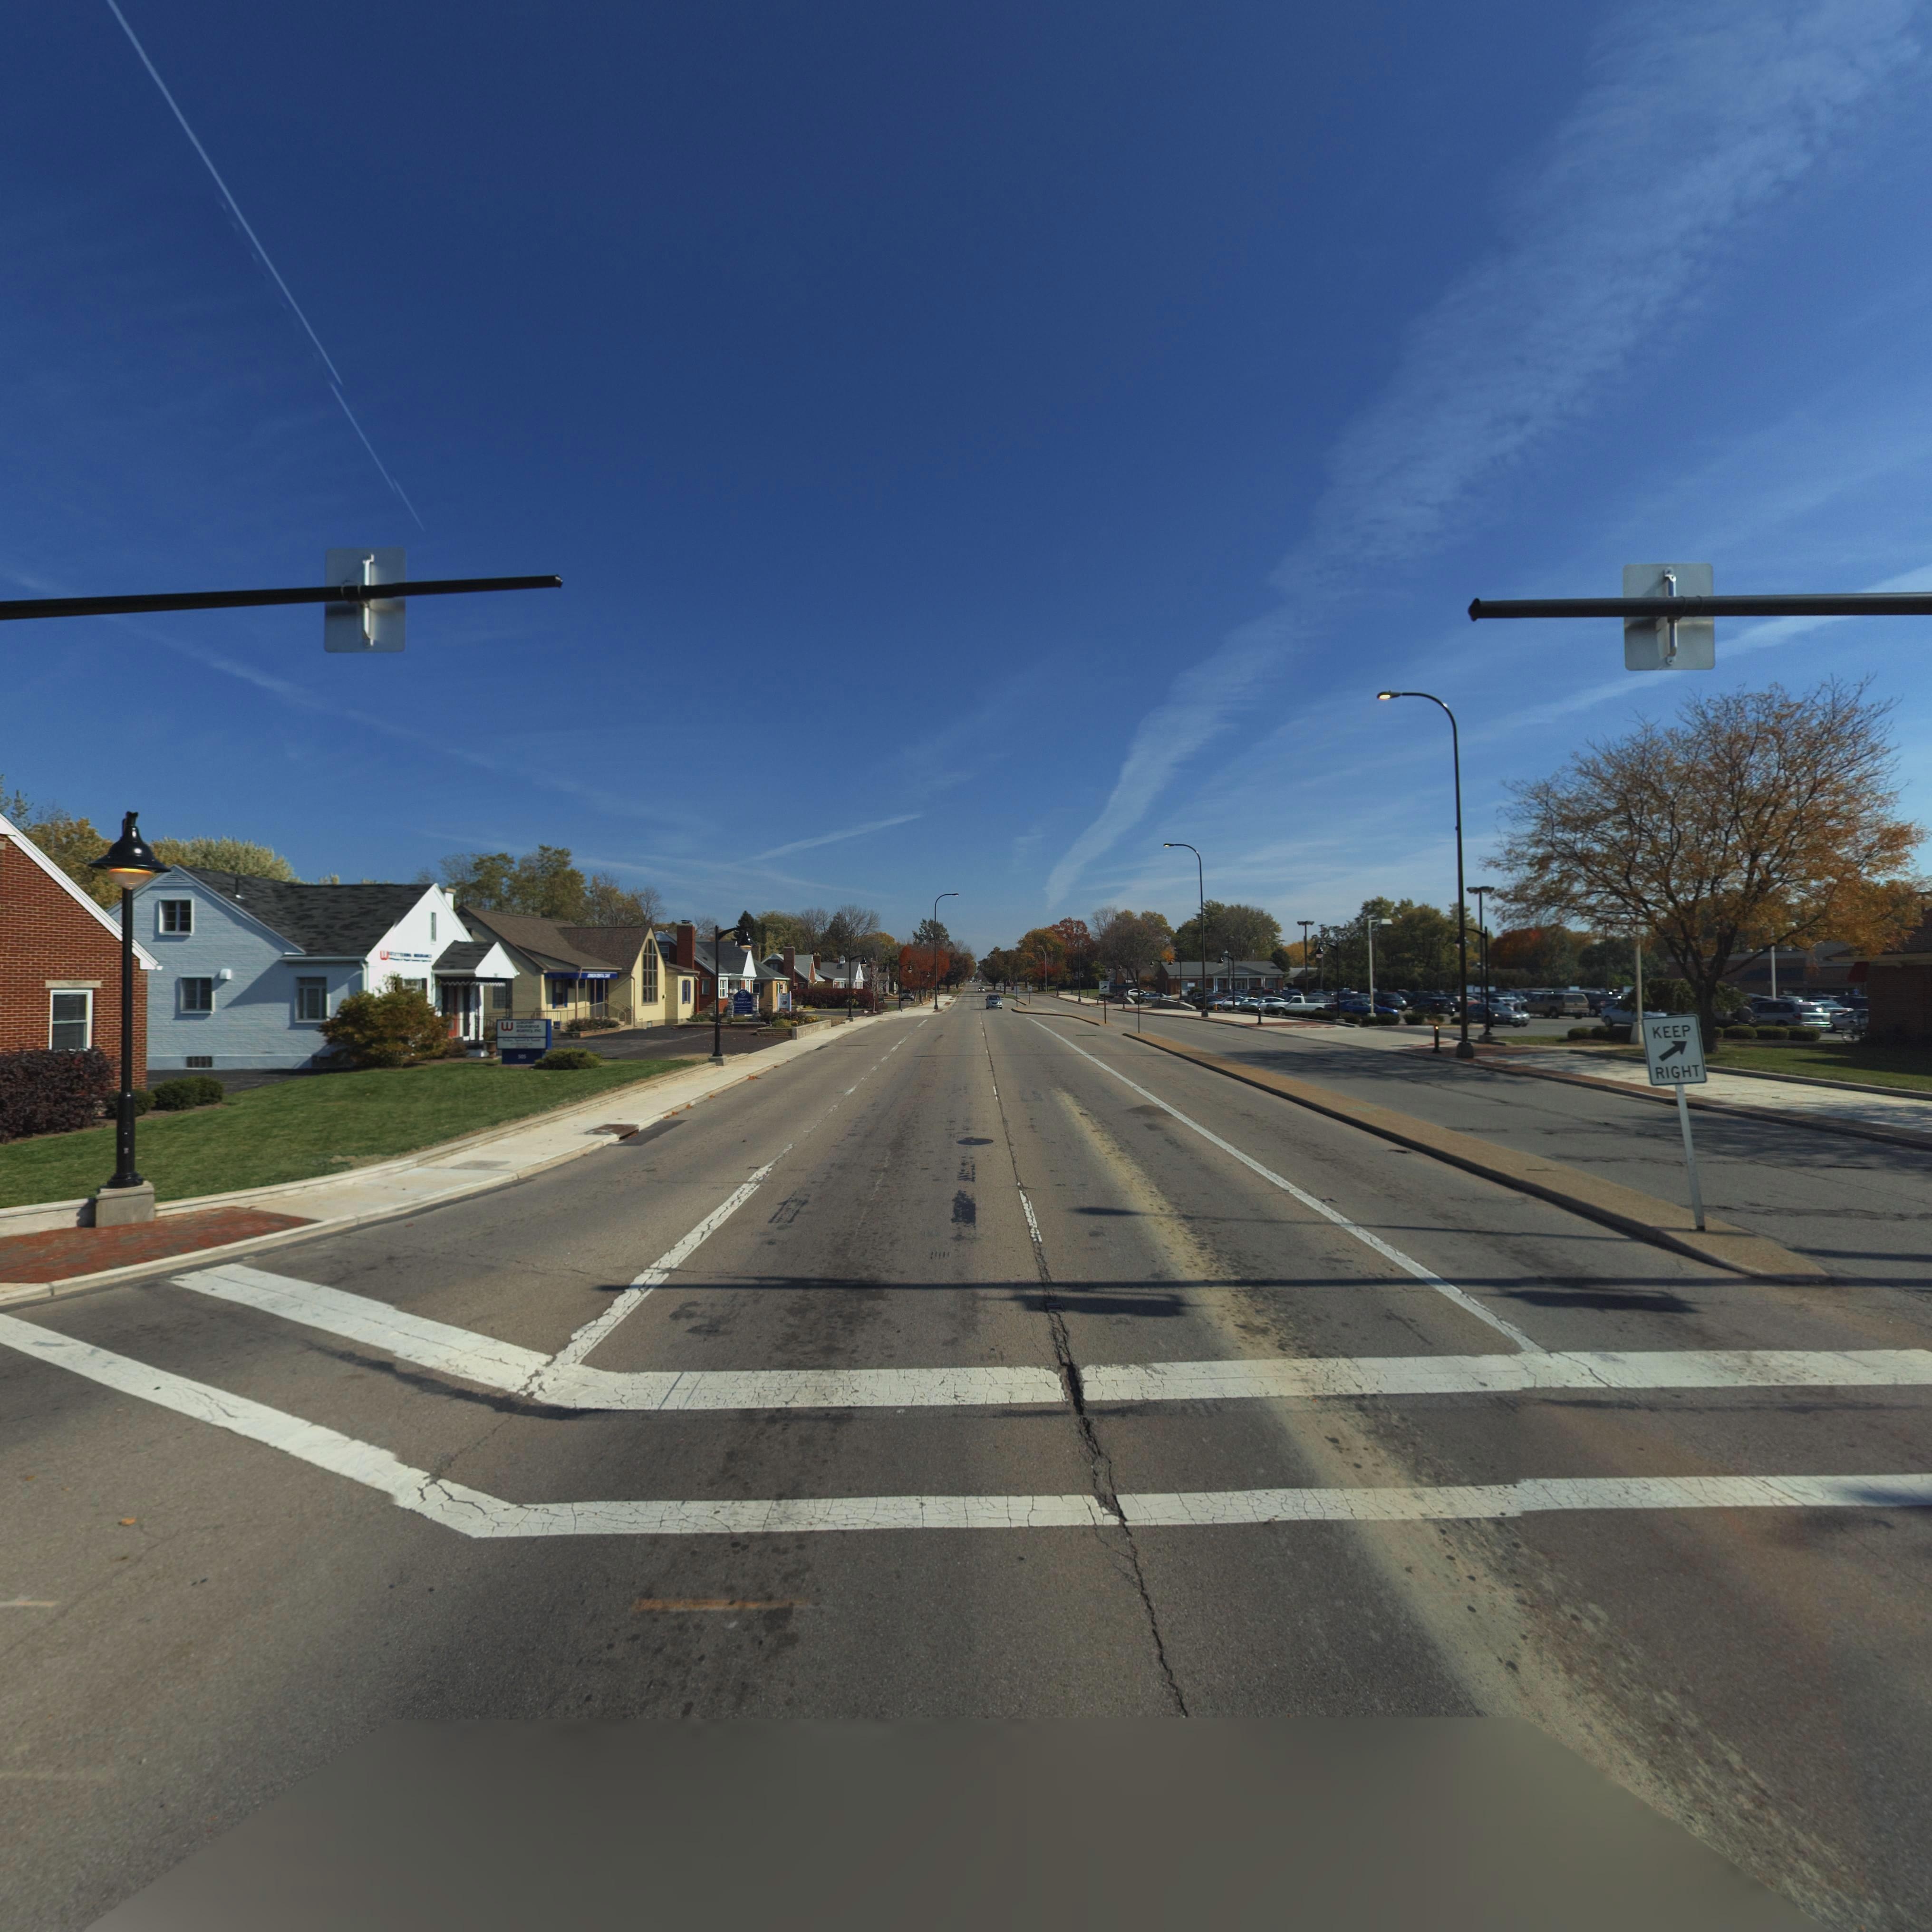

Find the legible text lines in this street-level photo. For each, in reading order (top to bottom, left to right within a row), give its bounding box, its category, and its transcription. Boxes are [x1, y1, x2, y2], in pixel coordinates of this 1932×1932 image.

[379, 950, 389, 960] None: w
[501, 1022, 513, 1031] None: w
[1652, 1024, 1691, 1039] None: KEEP
[1654, 1064, 1700, 1080] None: RIGHT